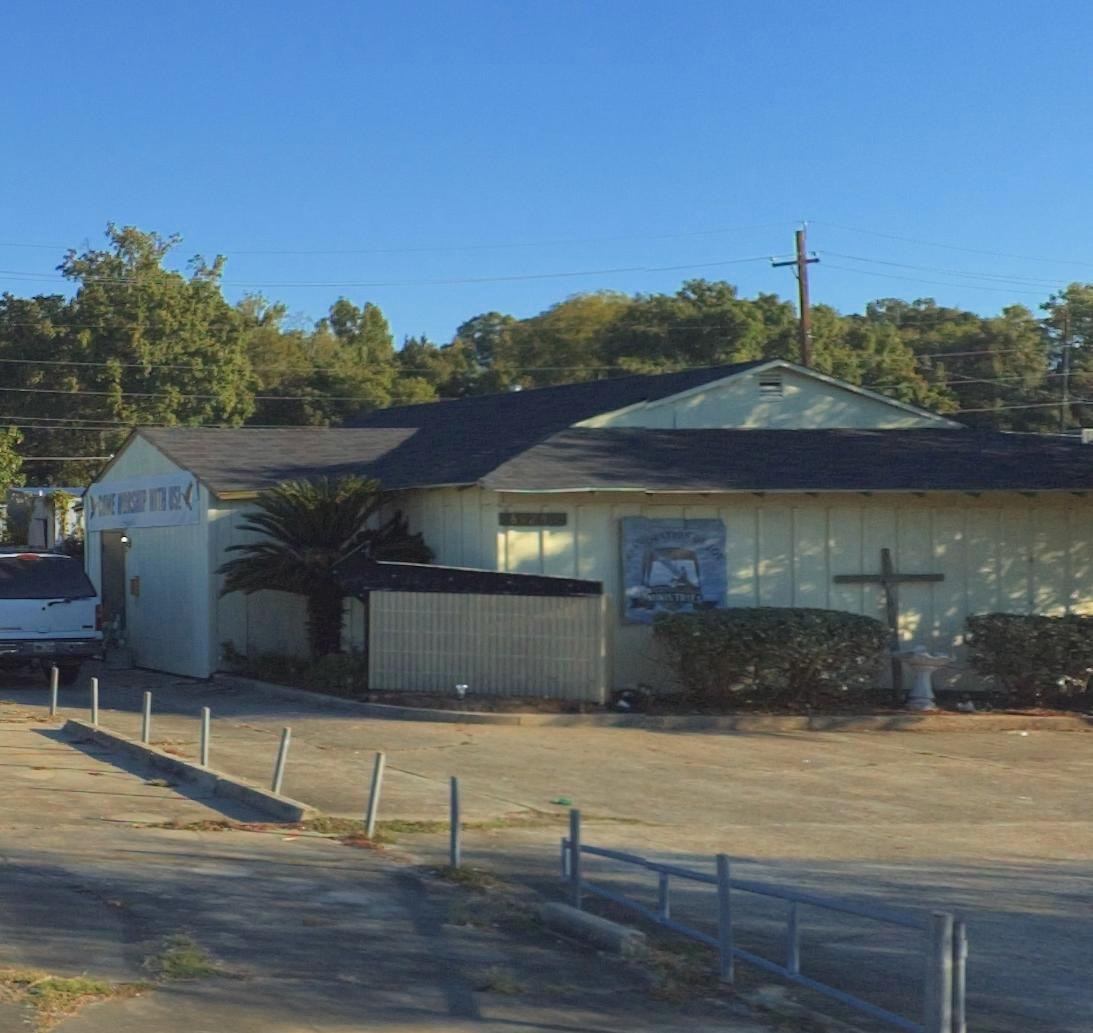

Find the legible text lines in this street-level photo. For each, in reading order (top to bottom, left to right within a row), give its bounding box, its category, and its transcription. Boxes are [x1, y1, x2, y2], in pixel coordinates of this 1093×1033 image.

[708, 544, 722, 560] None: O